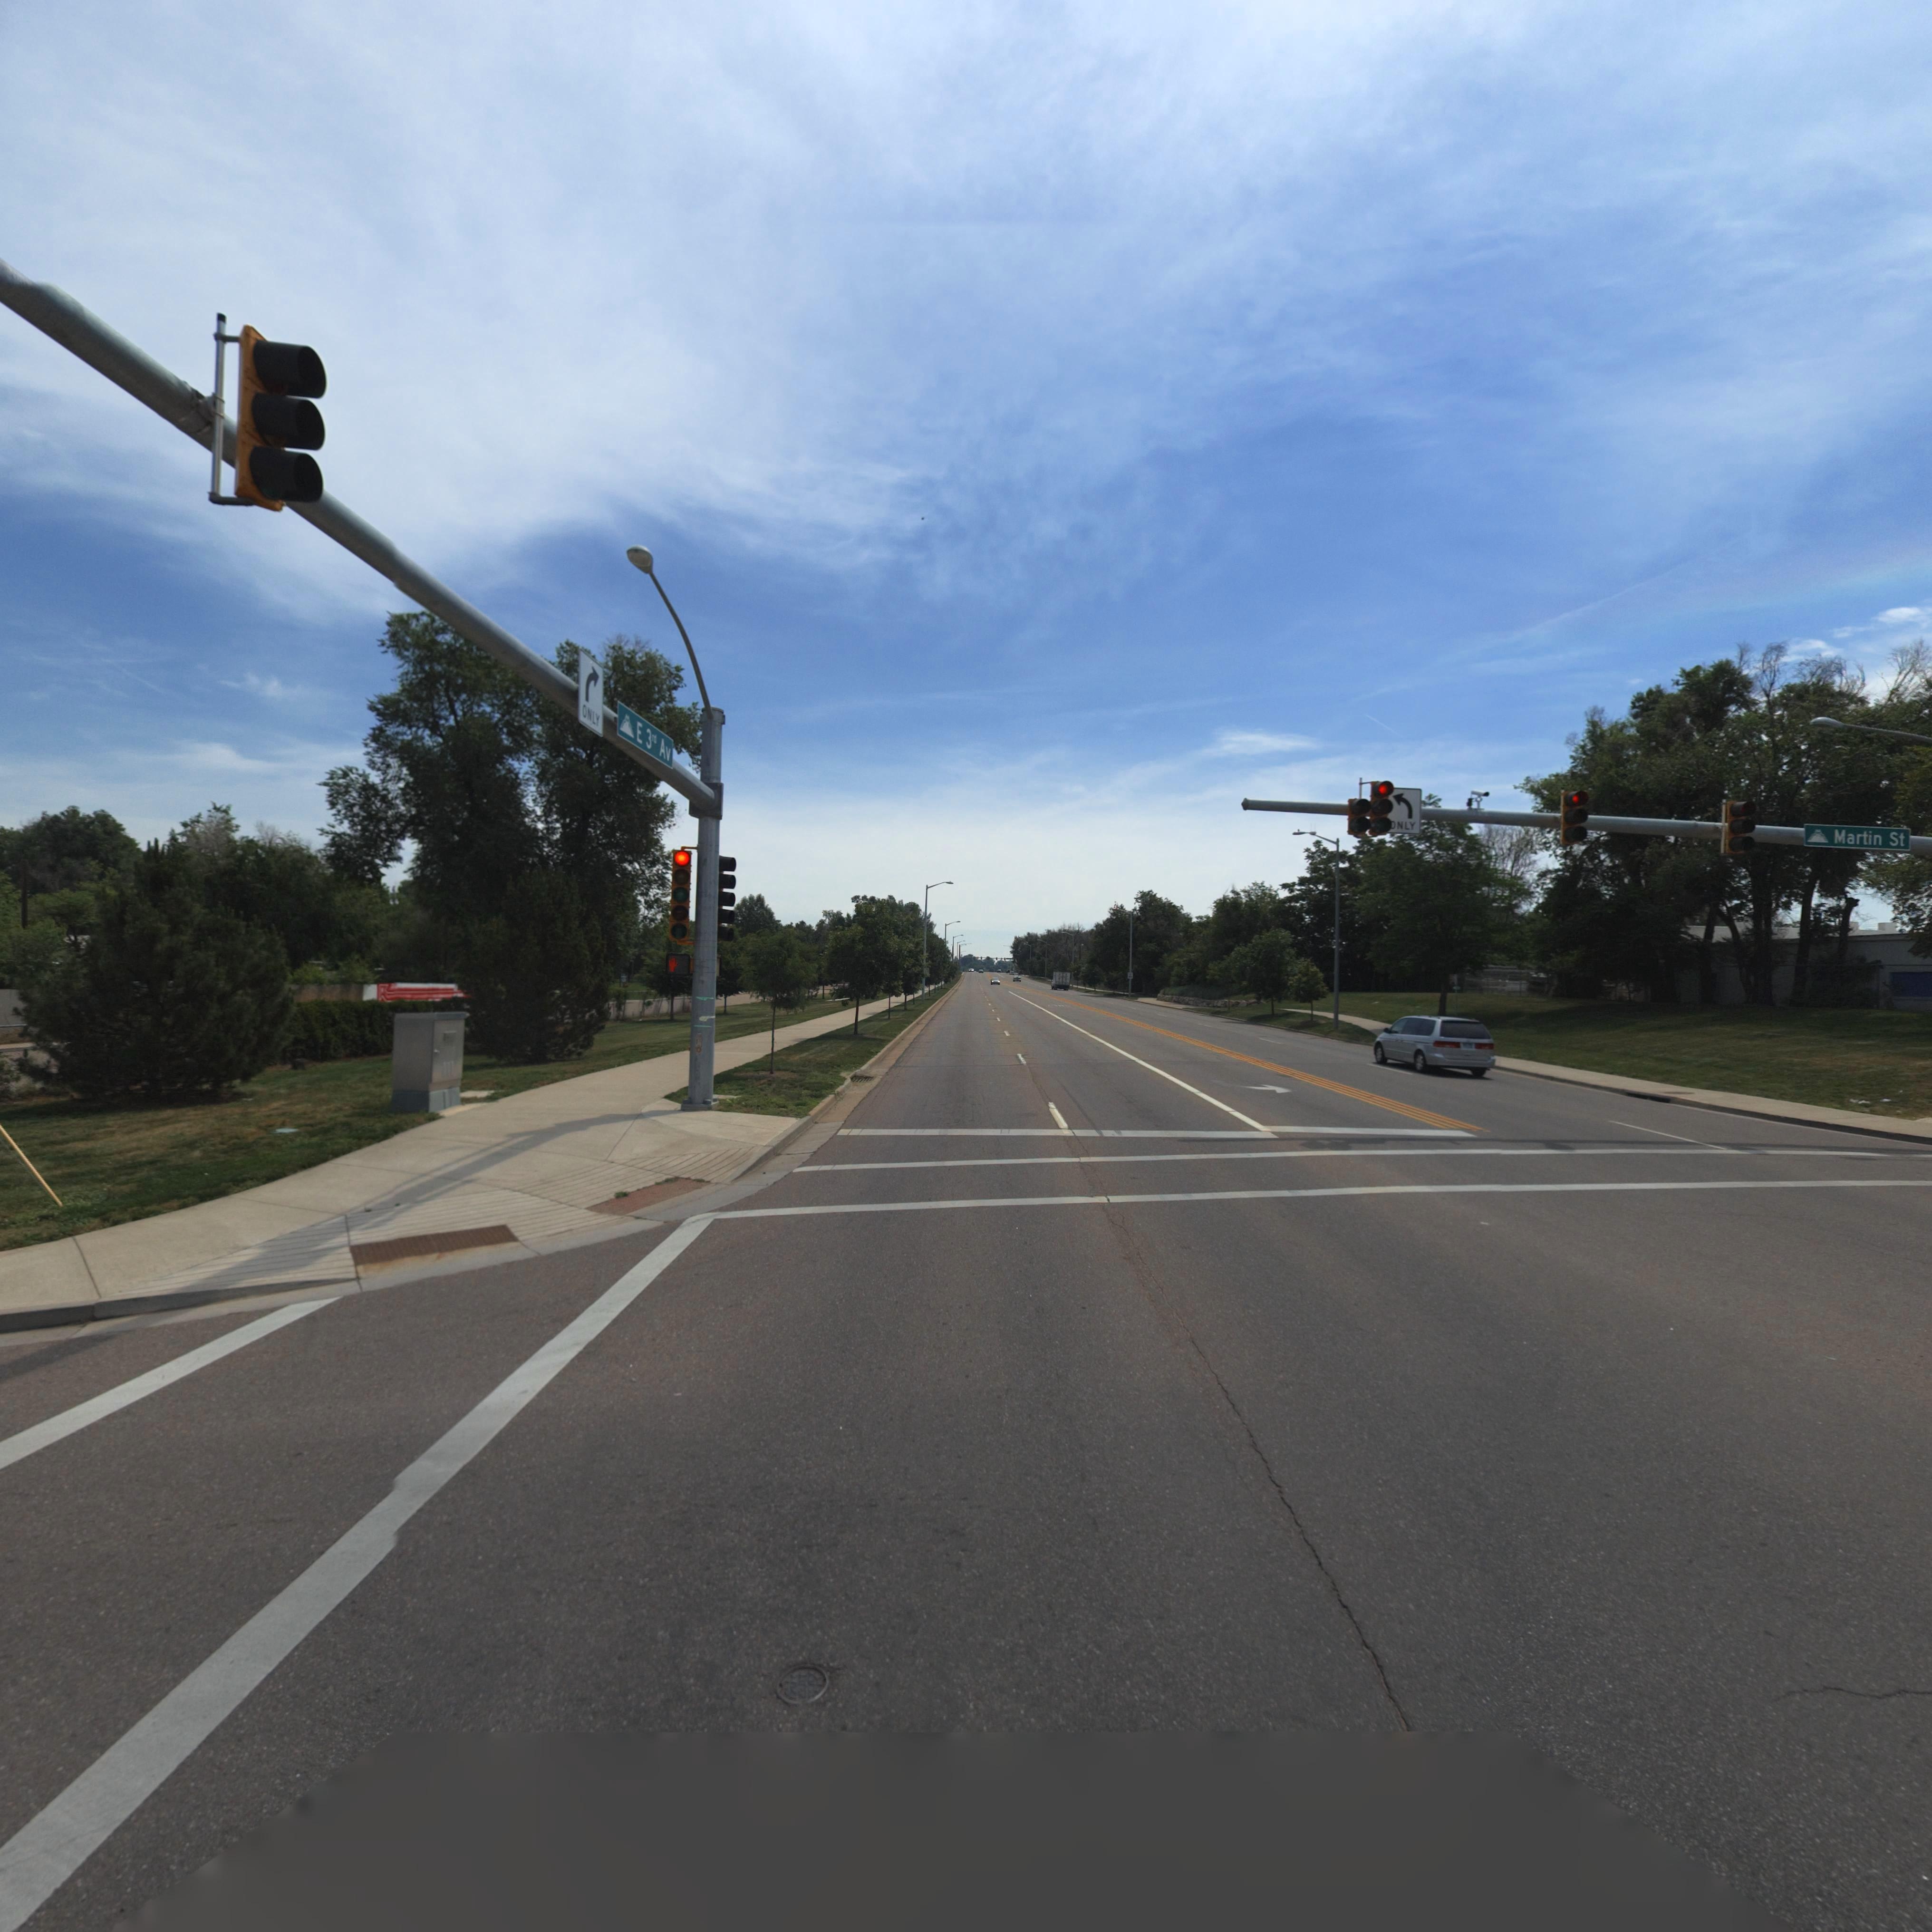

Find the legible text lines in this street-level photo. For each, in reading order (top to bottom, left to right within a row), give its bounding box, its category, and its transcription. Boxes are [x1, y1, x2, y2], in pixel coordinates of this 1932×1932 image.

[634, 716, 672, 766] StreetName: E 3rd Av
[1833, 828, 1907, 847] StreetName: Martin St